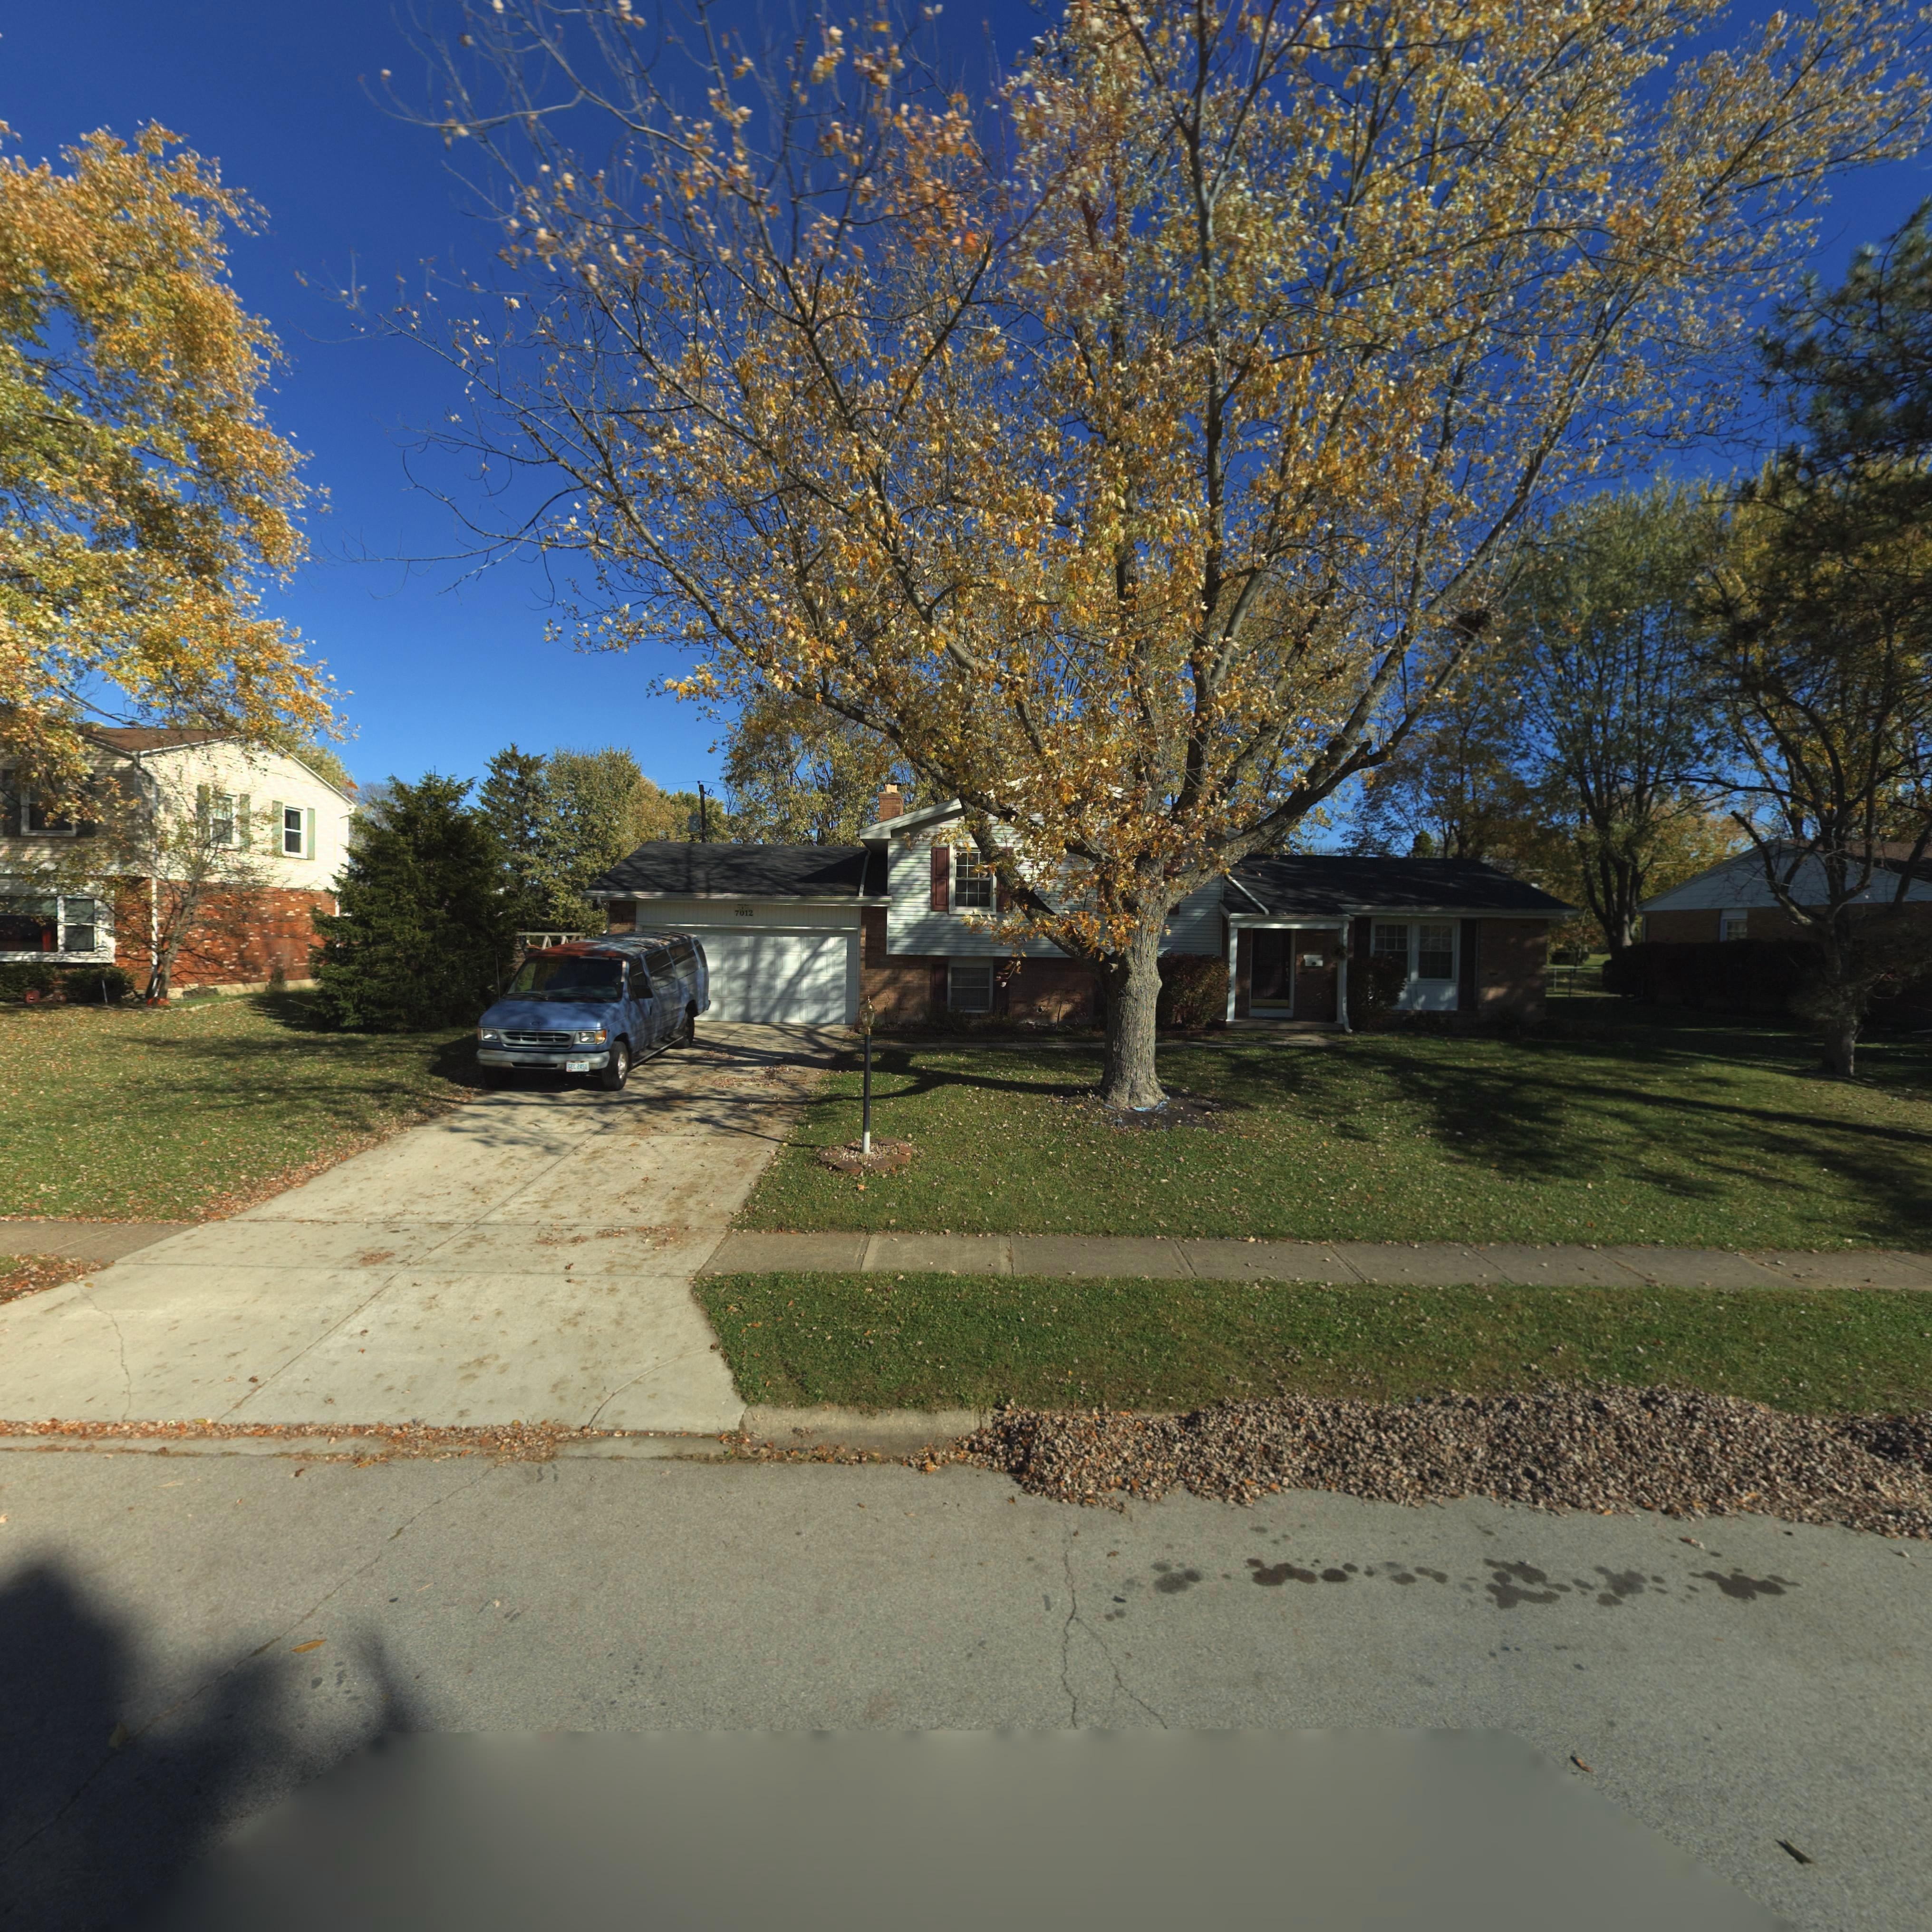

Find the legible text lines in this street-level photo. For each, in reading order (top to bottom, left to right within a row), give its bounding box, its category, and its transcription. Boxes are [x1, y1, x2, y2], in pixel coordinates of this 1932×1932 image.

[734, 909, 754, 918] StreetNumber: 7012
[568, 1063, 588, 1070] None: GEC*2451